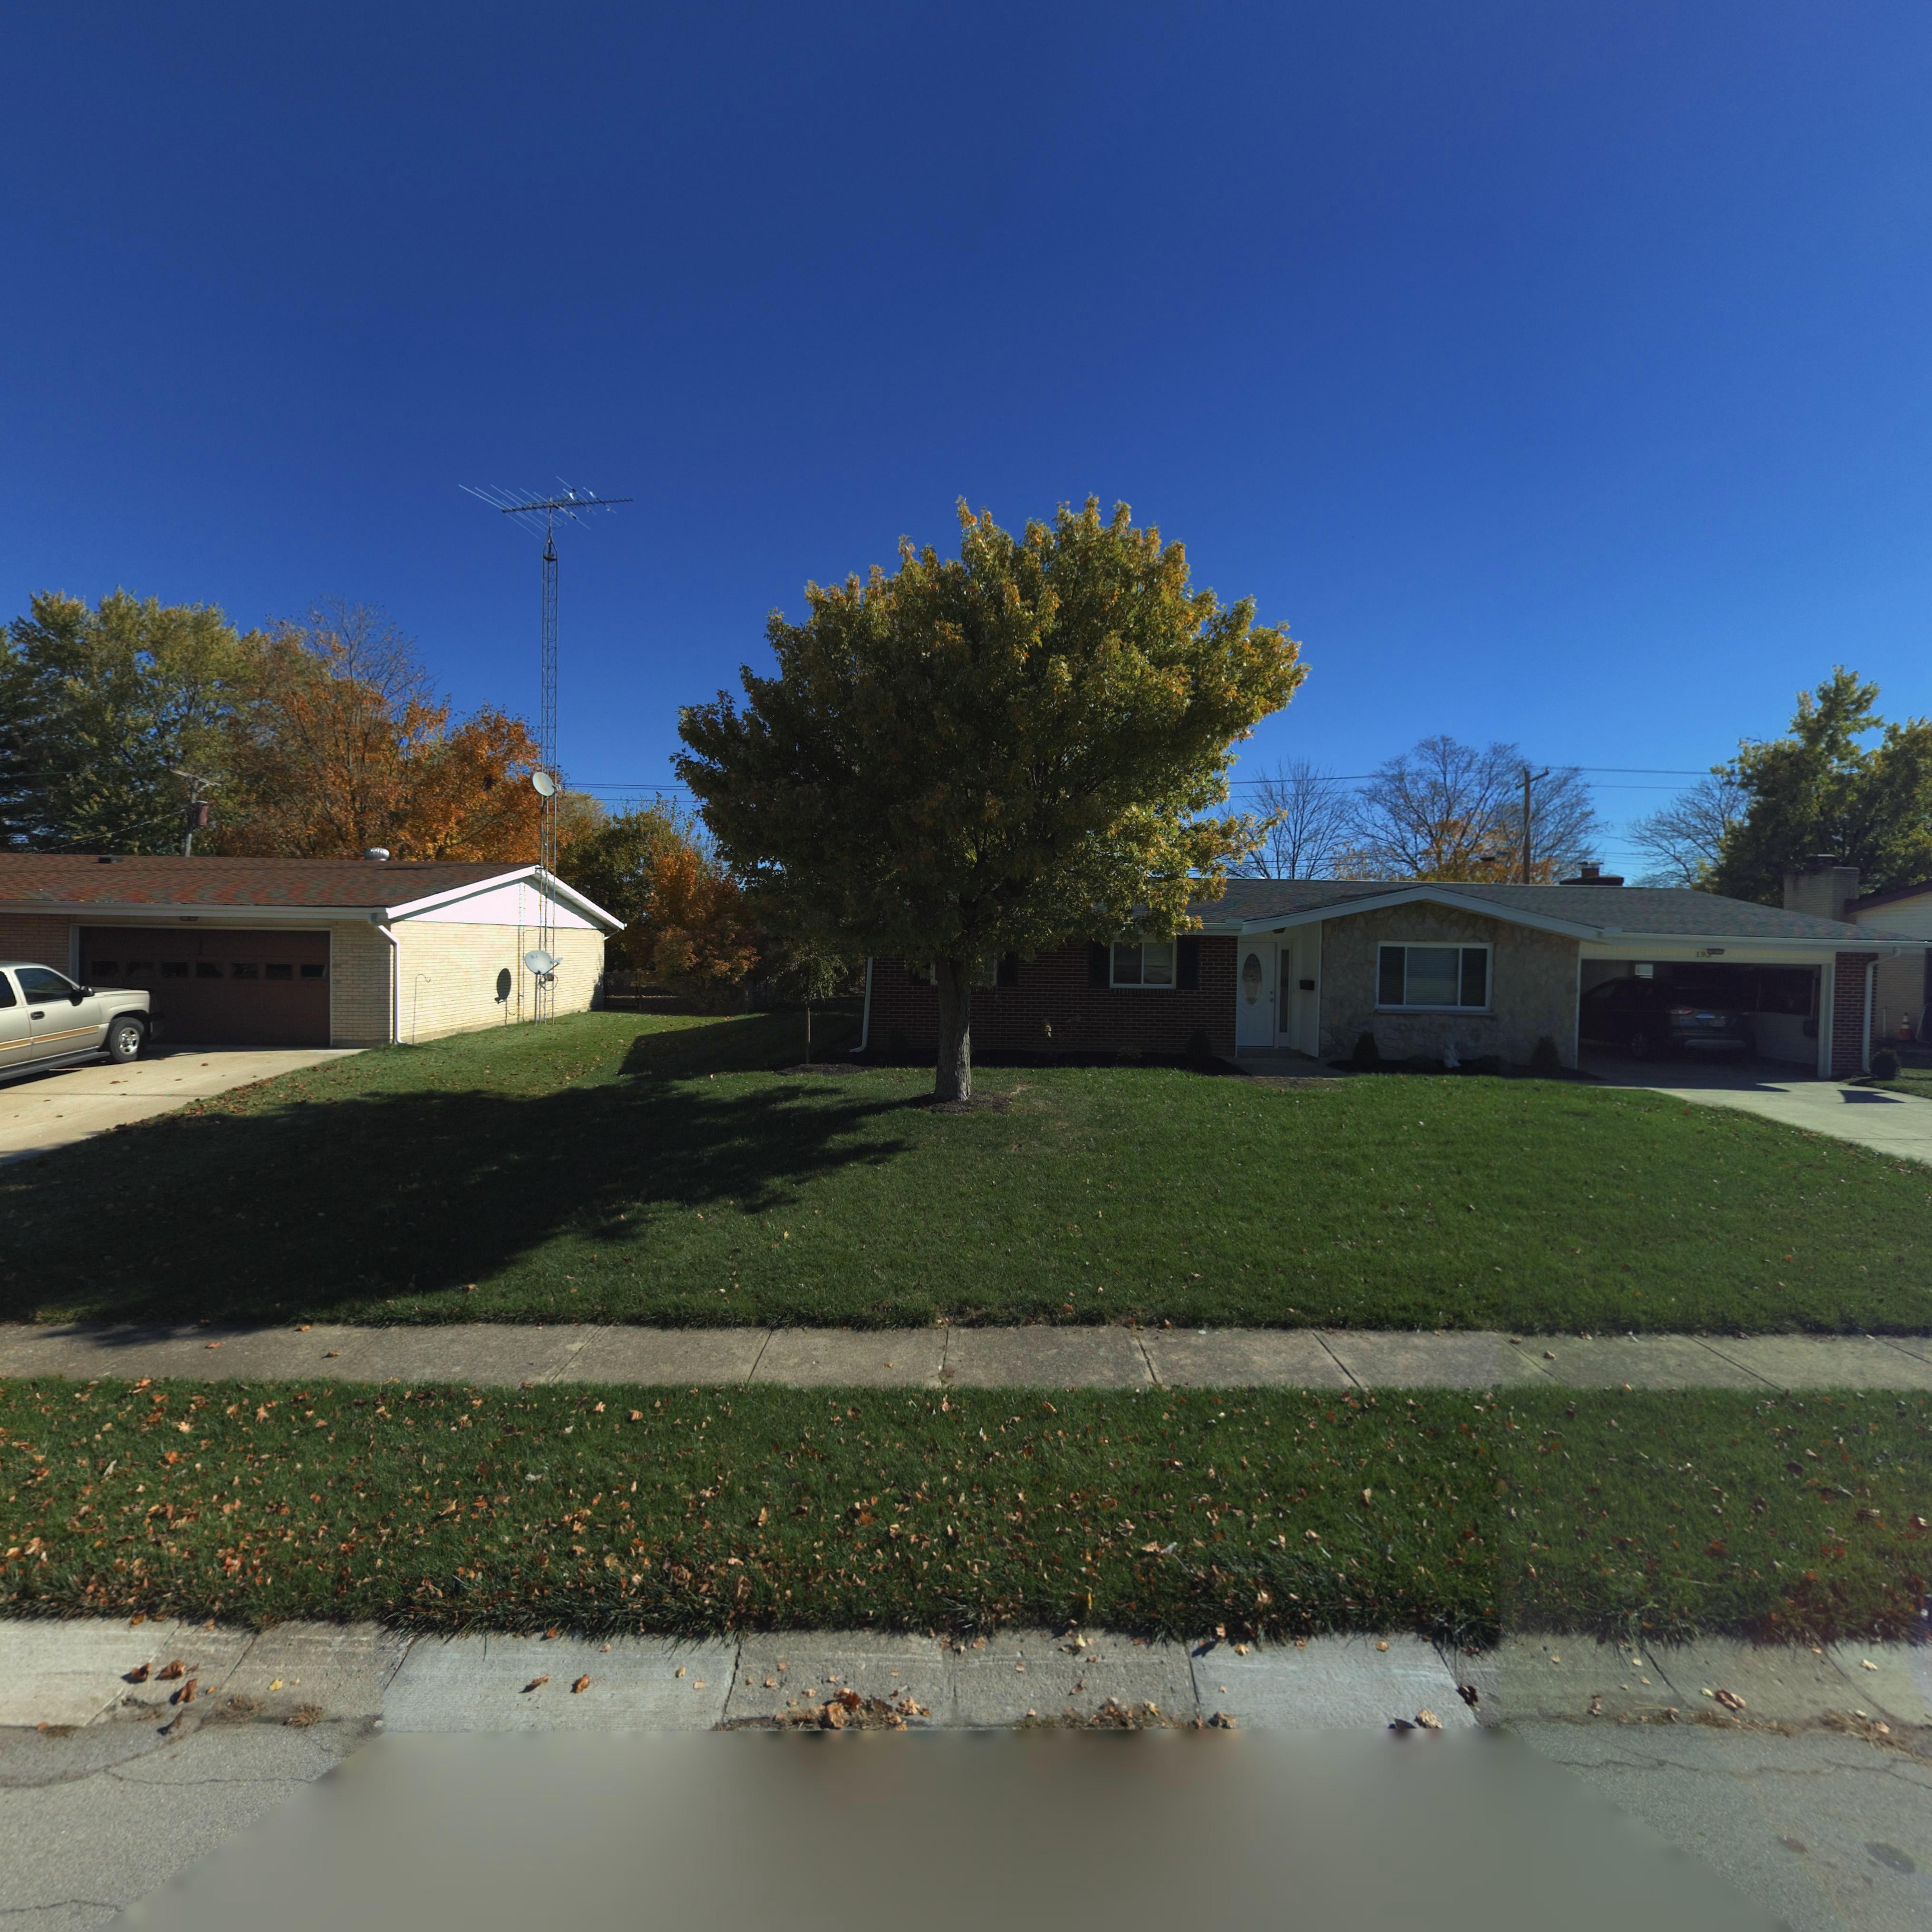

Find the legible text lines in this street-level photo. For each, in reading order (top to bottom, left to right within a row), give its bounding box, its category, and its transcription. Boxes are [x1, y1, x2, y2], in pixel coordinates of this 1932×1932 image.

[1695, 950, 1707, 958] StreetNumber: 19